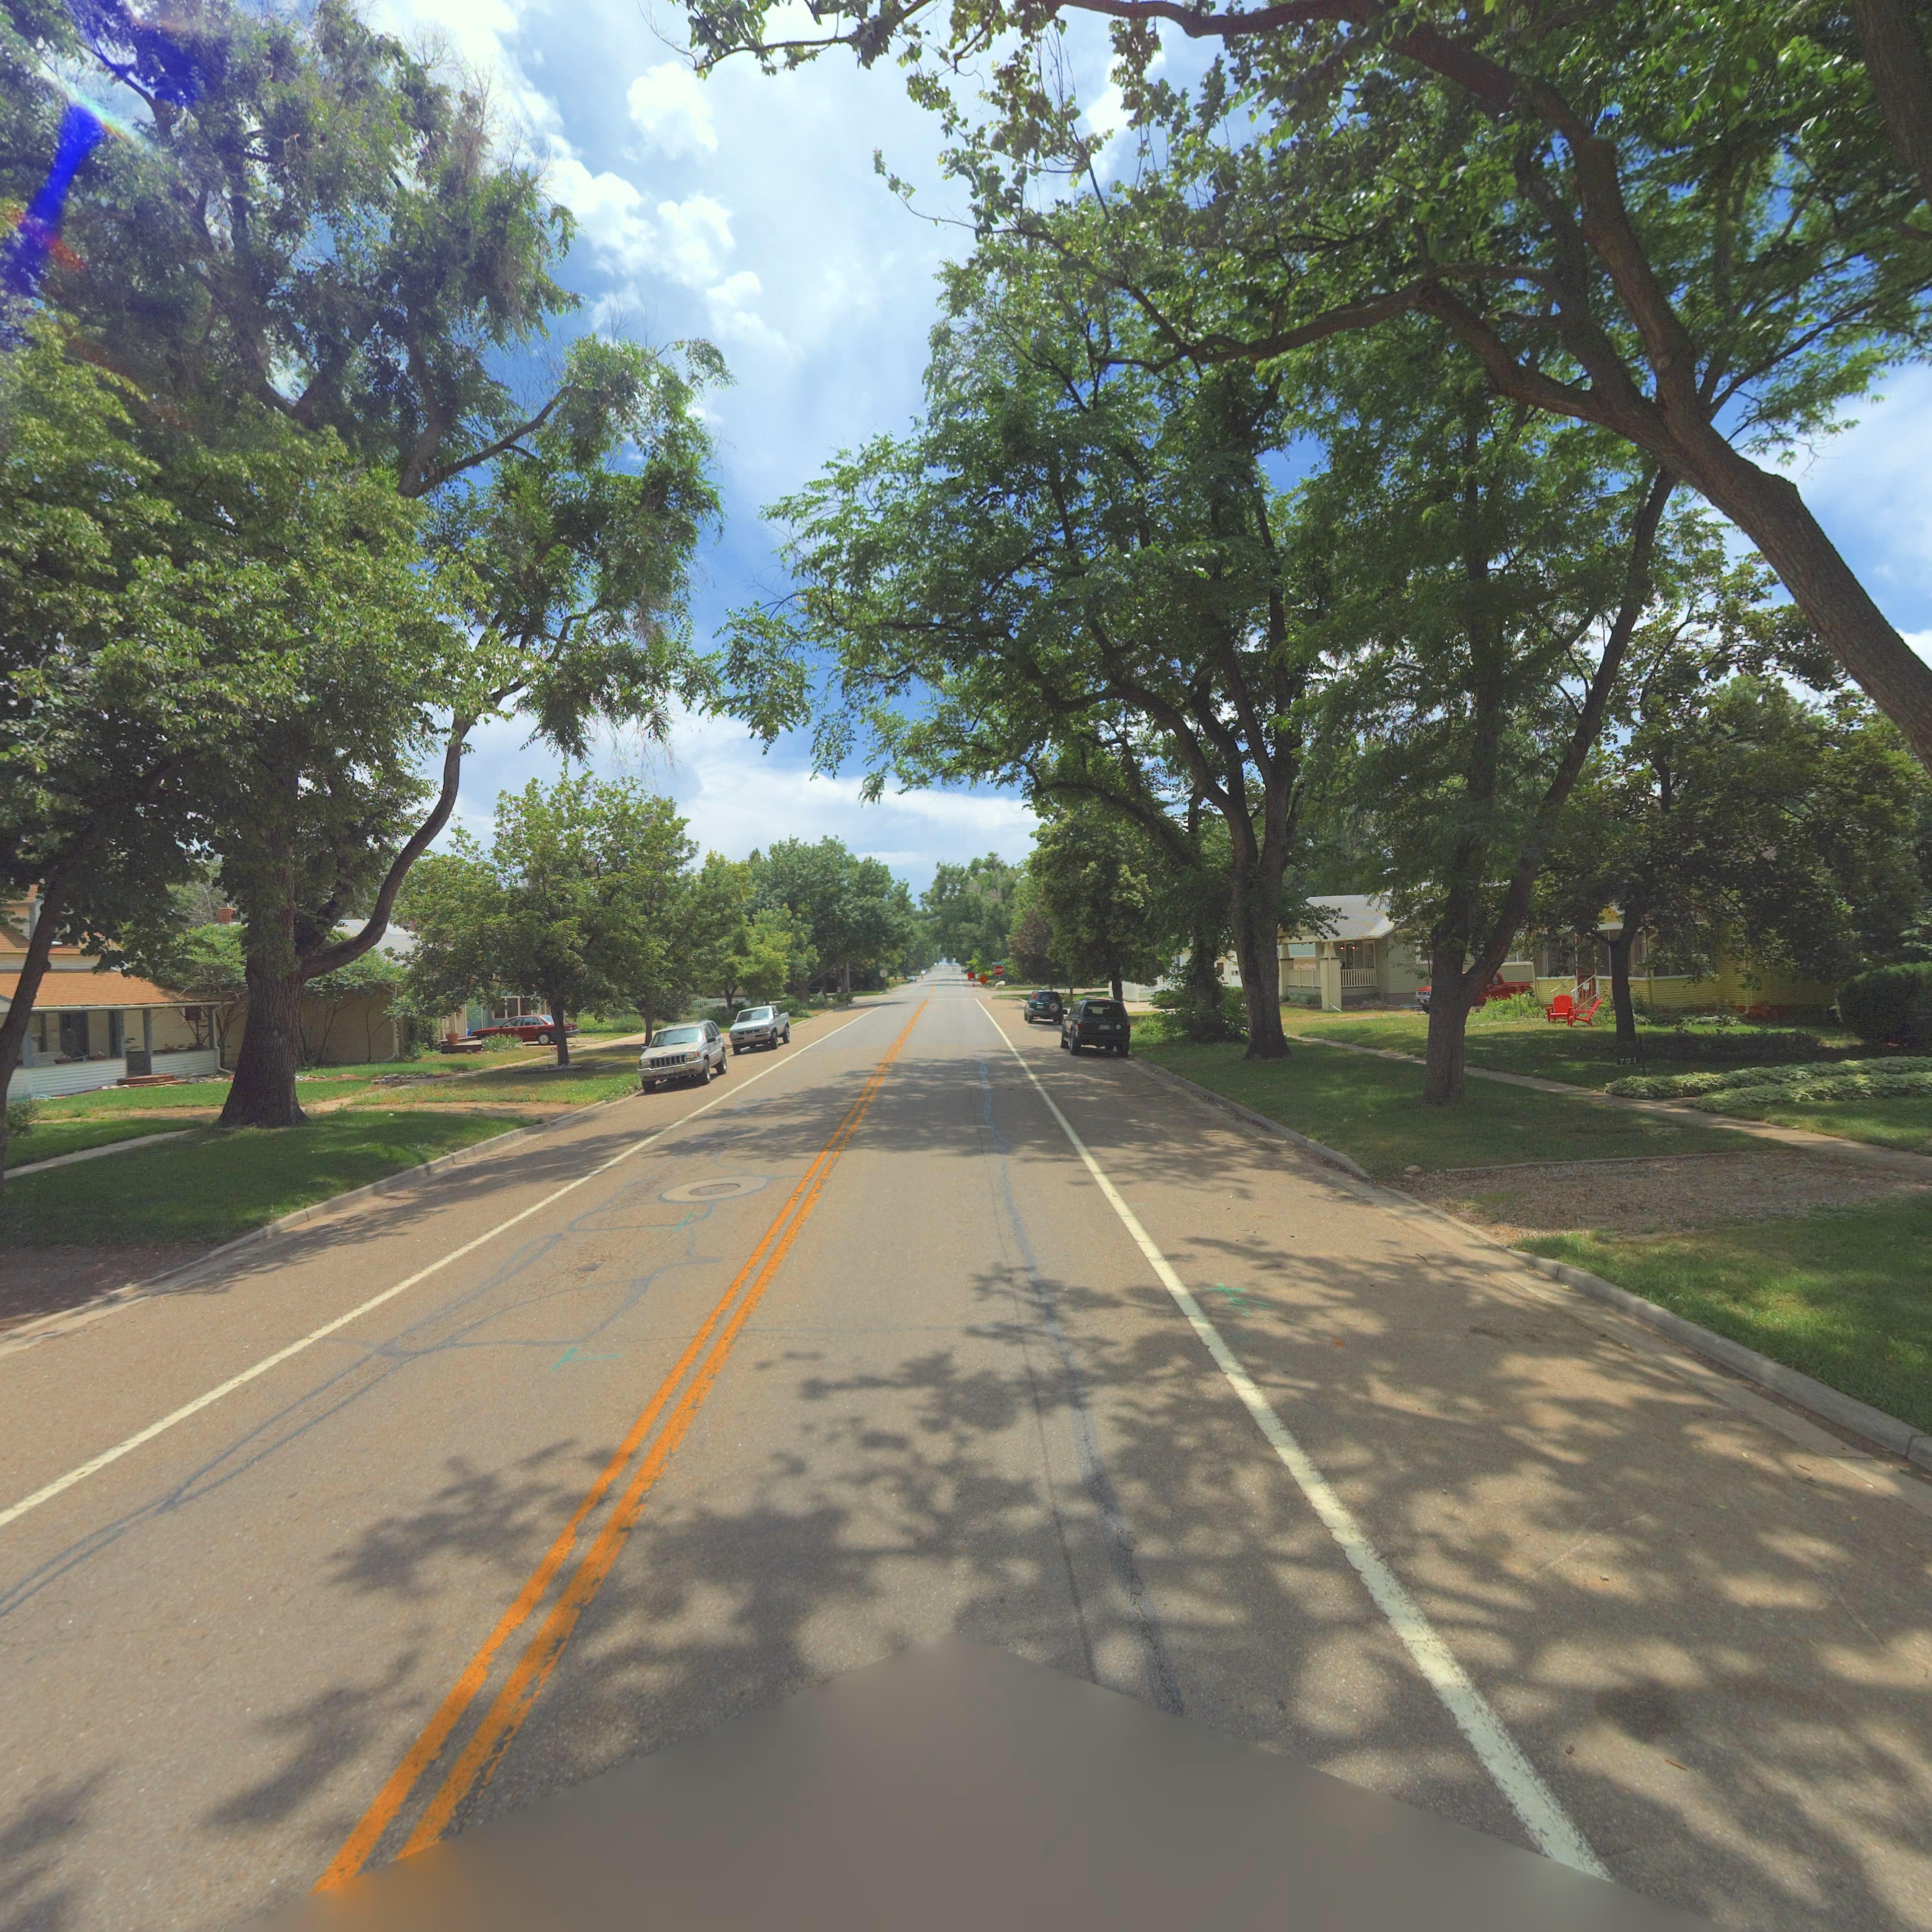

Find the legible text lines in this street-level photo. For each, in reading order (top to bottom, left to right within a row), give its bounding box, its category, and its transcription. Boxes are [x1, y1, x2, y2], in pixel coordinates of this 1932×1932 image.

[1619, 1057, 1637, 1064] StreetNumber: 721